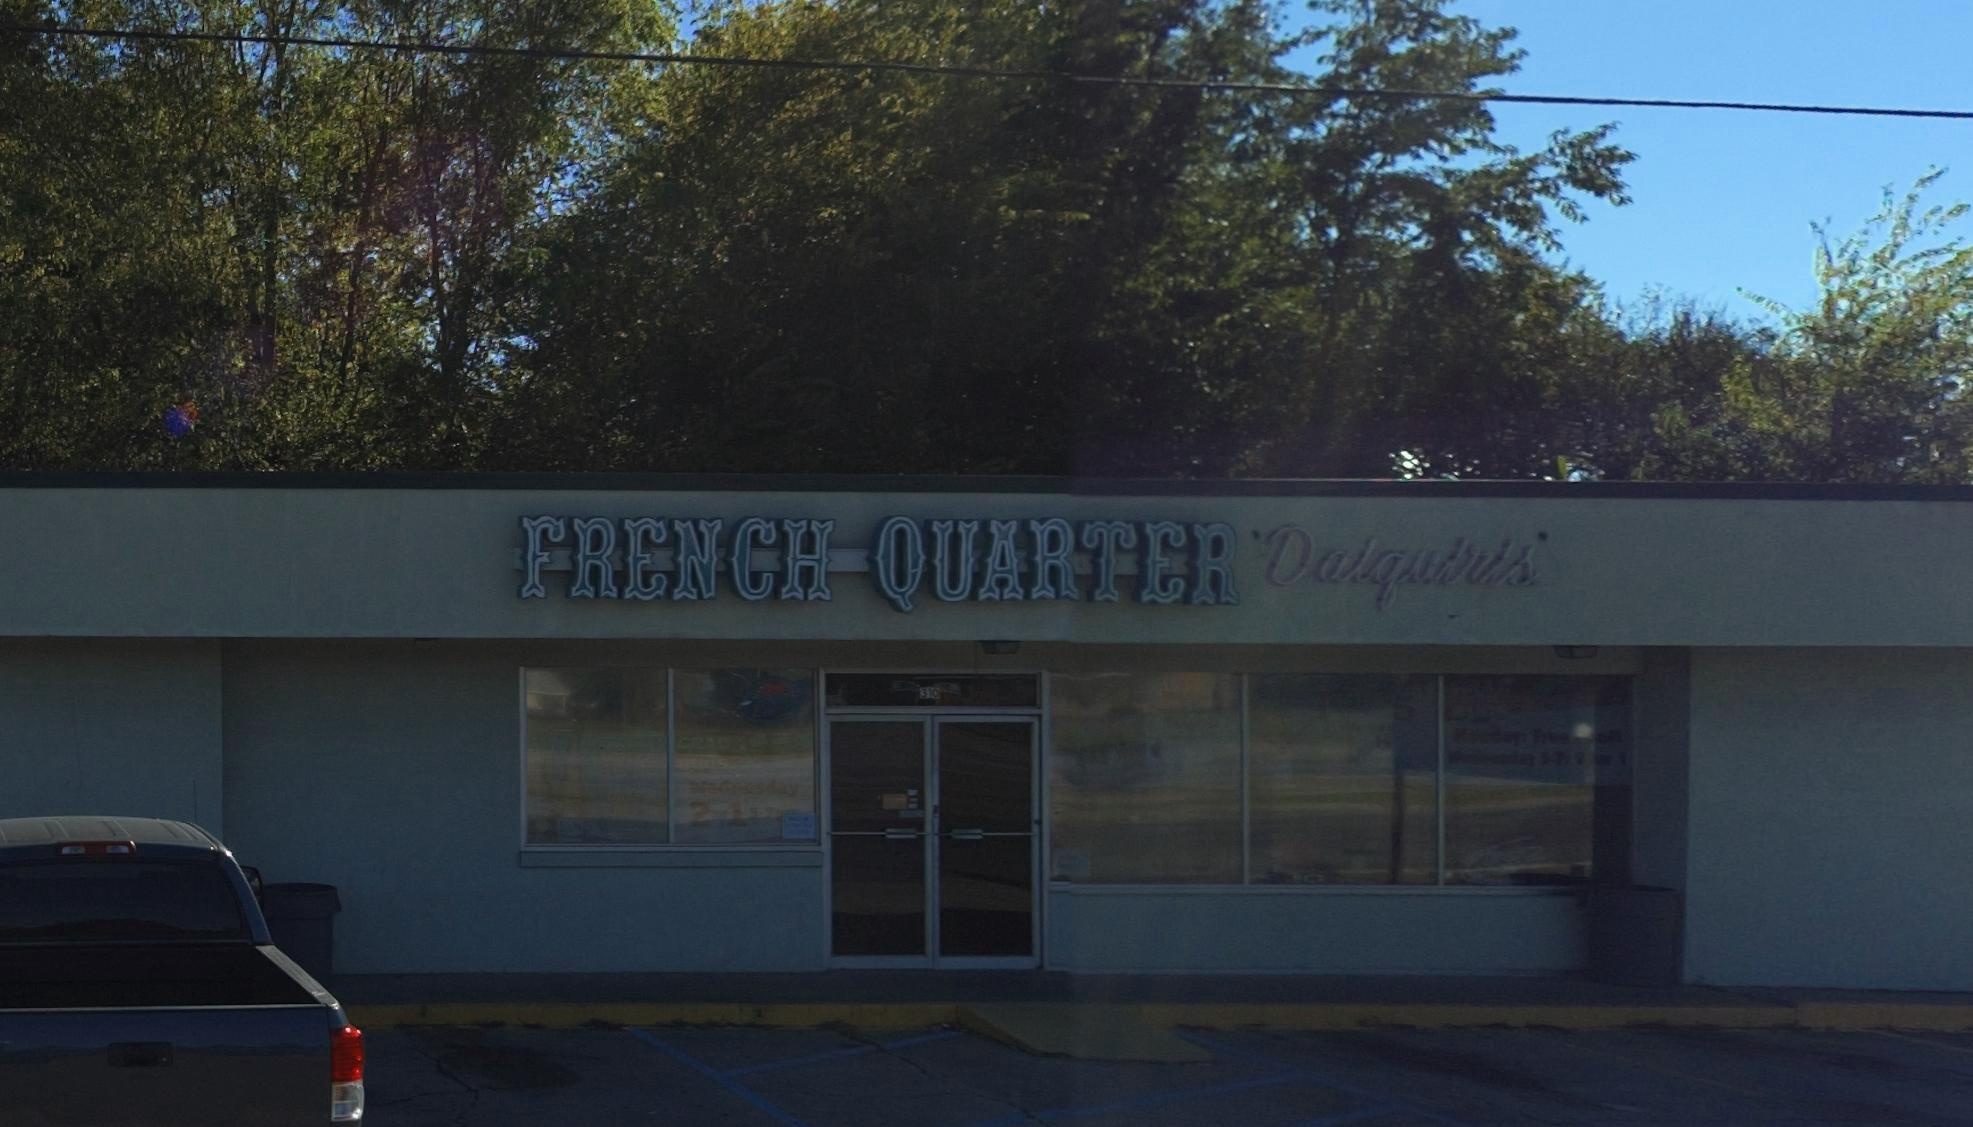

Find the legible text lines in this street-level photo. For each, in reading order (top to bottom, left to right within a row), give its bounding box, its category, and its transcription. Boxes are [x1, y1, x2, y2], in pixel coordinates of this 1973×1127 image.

[517, 514, 1549, 613] BusinessName: FRENCH QUARTER "Daiquiris"
[920, 687, 940, 699] StreetNumber: 310
[1392, 692, 1417, 726] None: 5
[676, 735, 731, 752] None: GRAB
[1445, 749, 1569, 773] None: W***esday 5-7
[682, 778, 801, 800] None: W*d**sday
[687, 800, 714, 829] None: 2
[725, 800, 750, 830] None: 1
[749, 806, 776, 821] None: 5-7